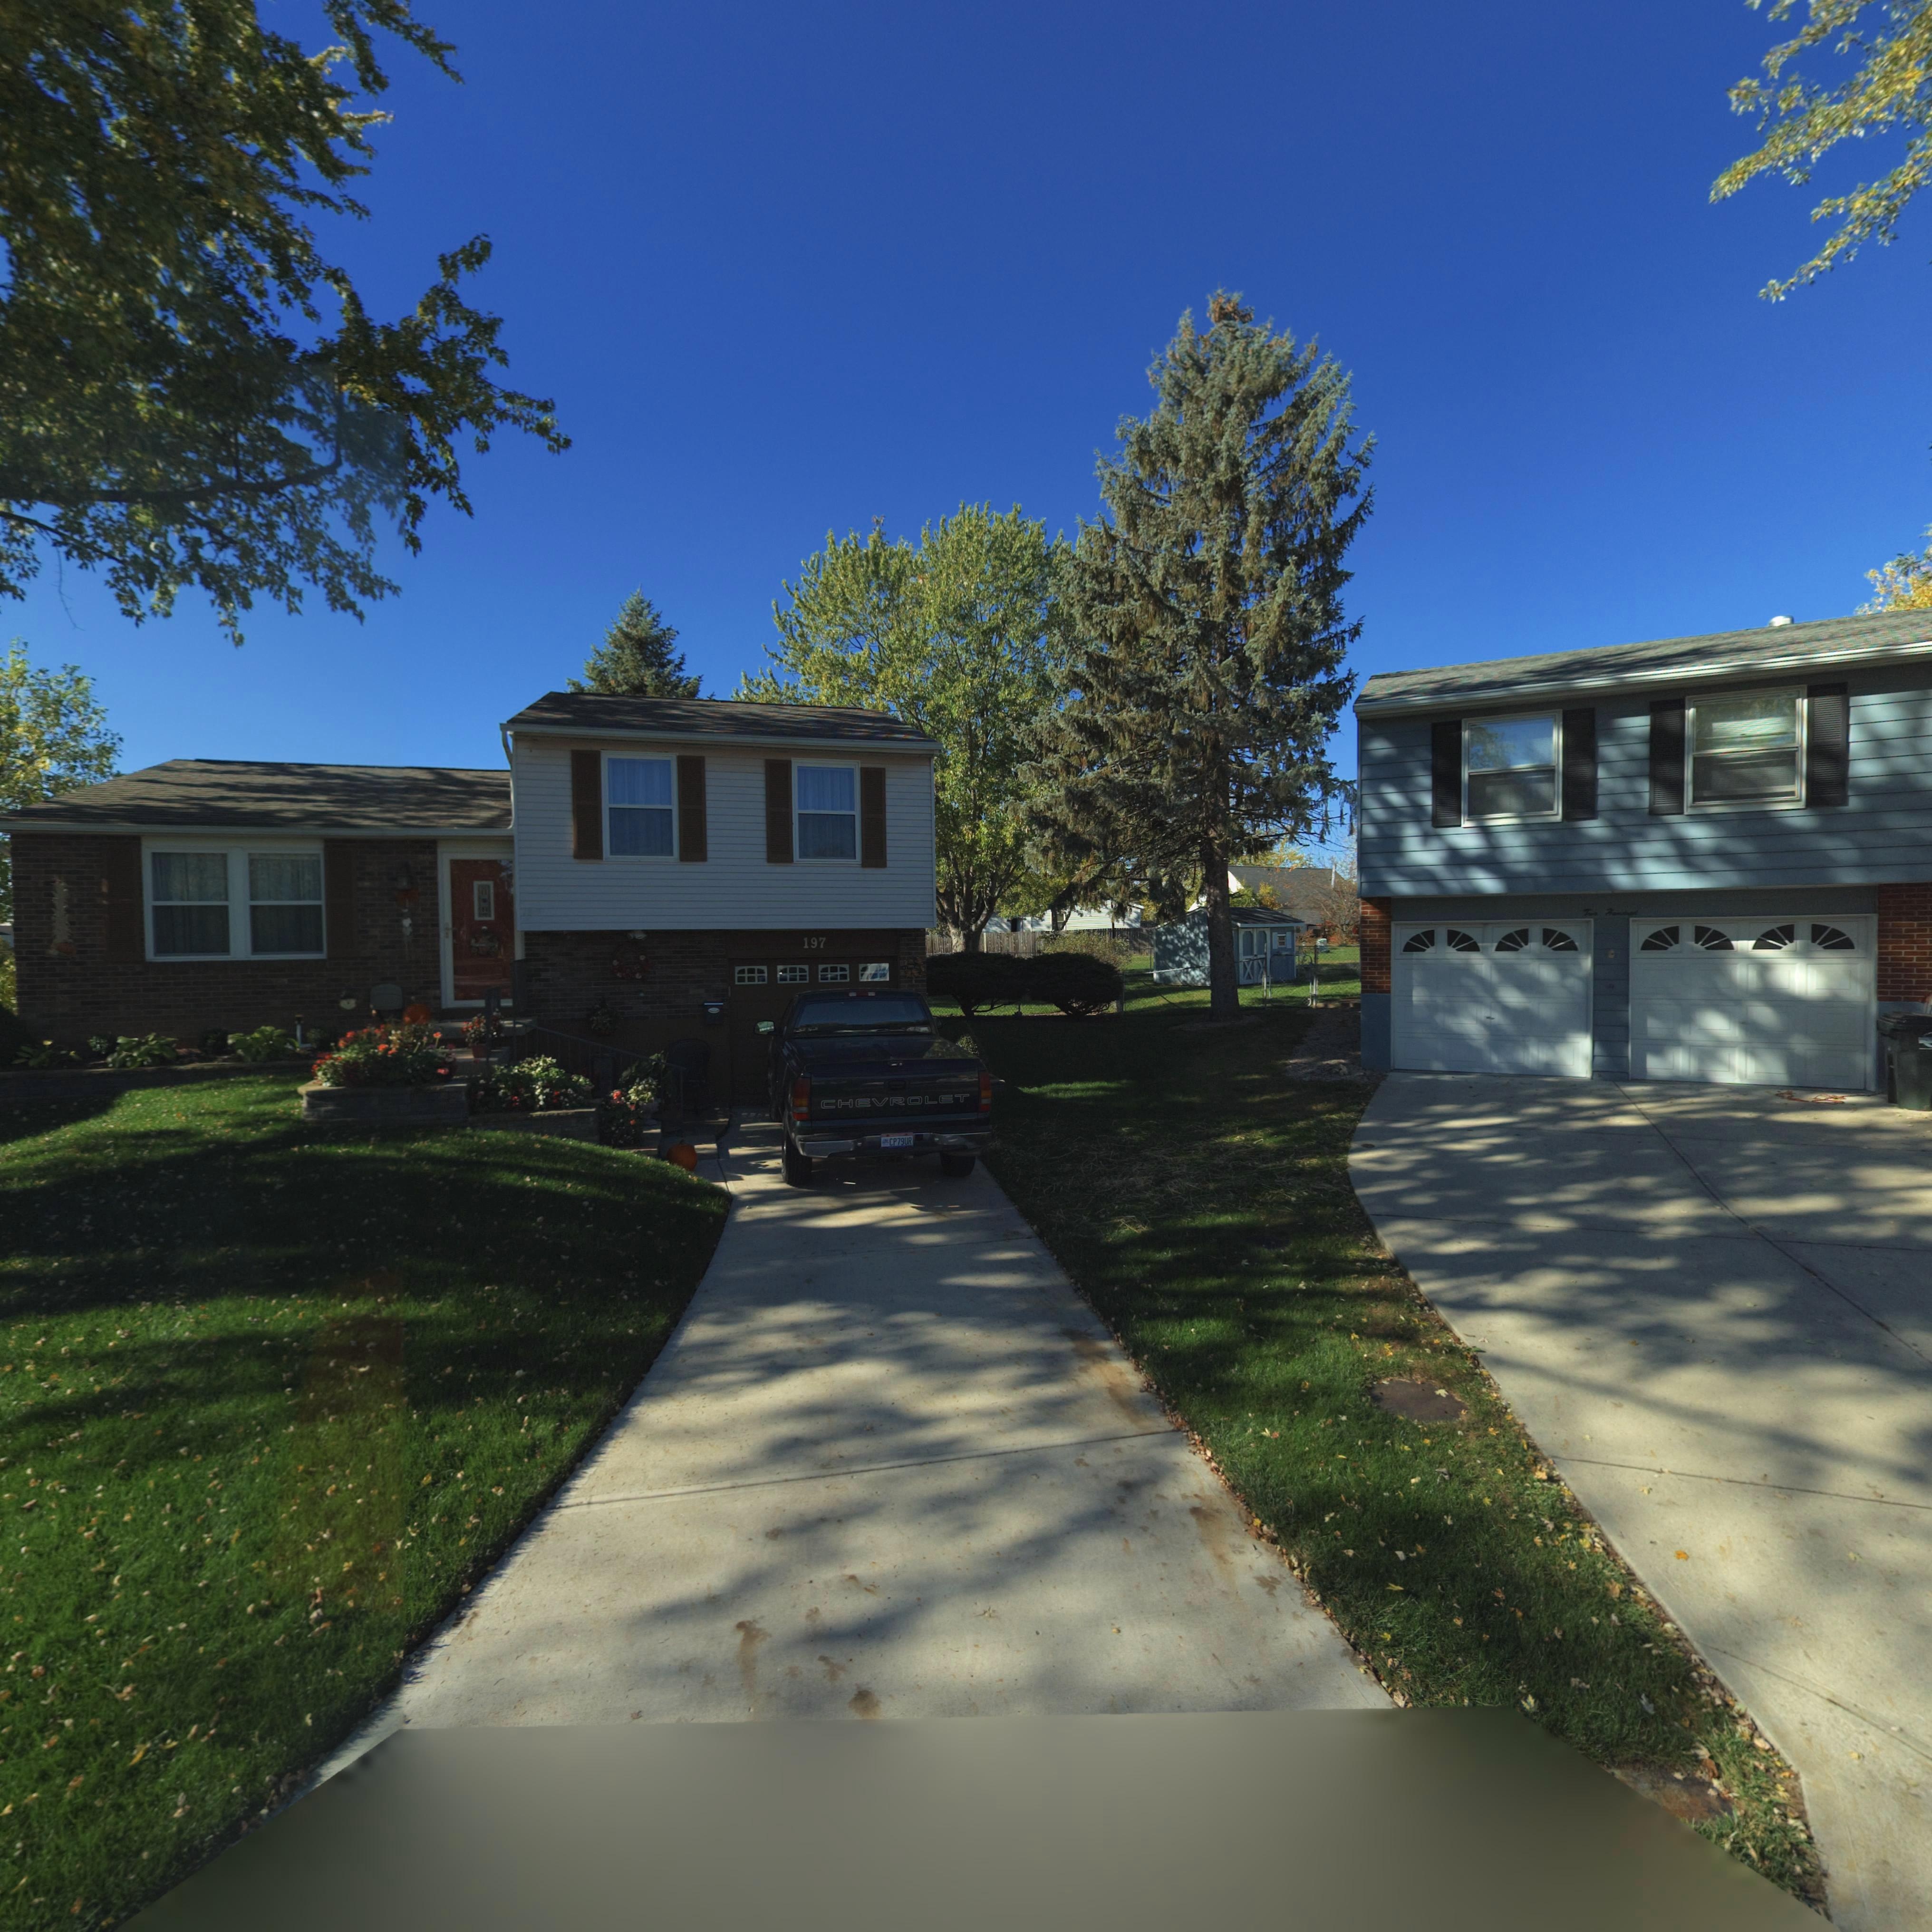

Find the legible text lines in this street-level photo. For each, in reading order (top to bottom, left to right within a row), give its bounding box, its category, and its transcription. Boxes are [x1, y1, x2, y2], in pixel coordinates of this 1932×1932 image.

[802, 936, 827, 949] StreetNumber: 197